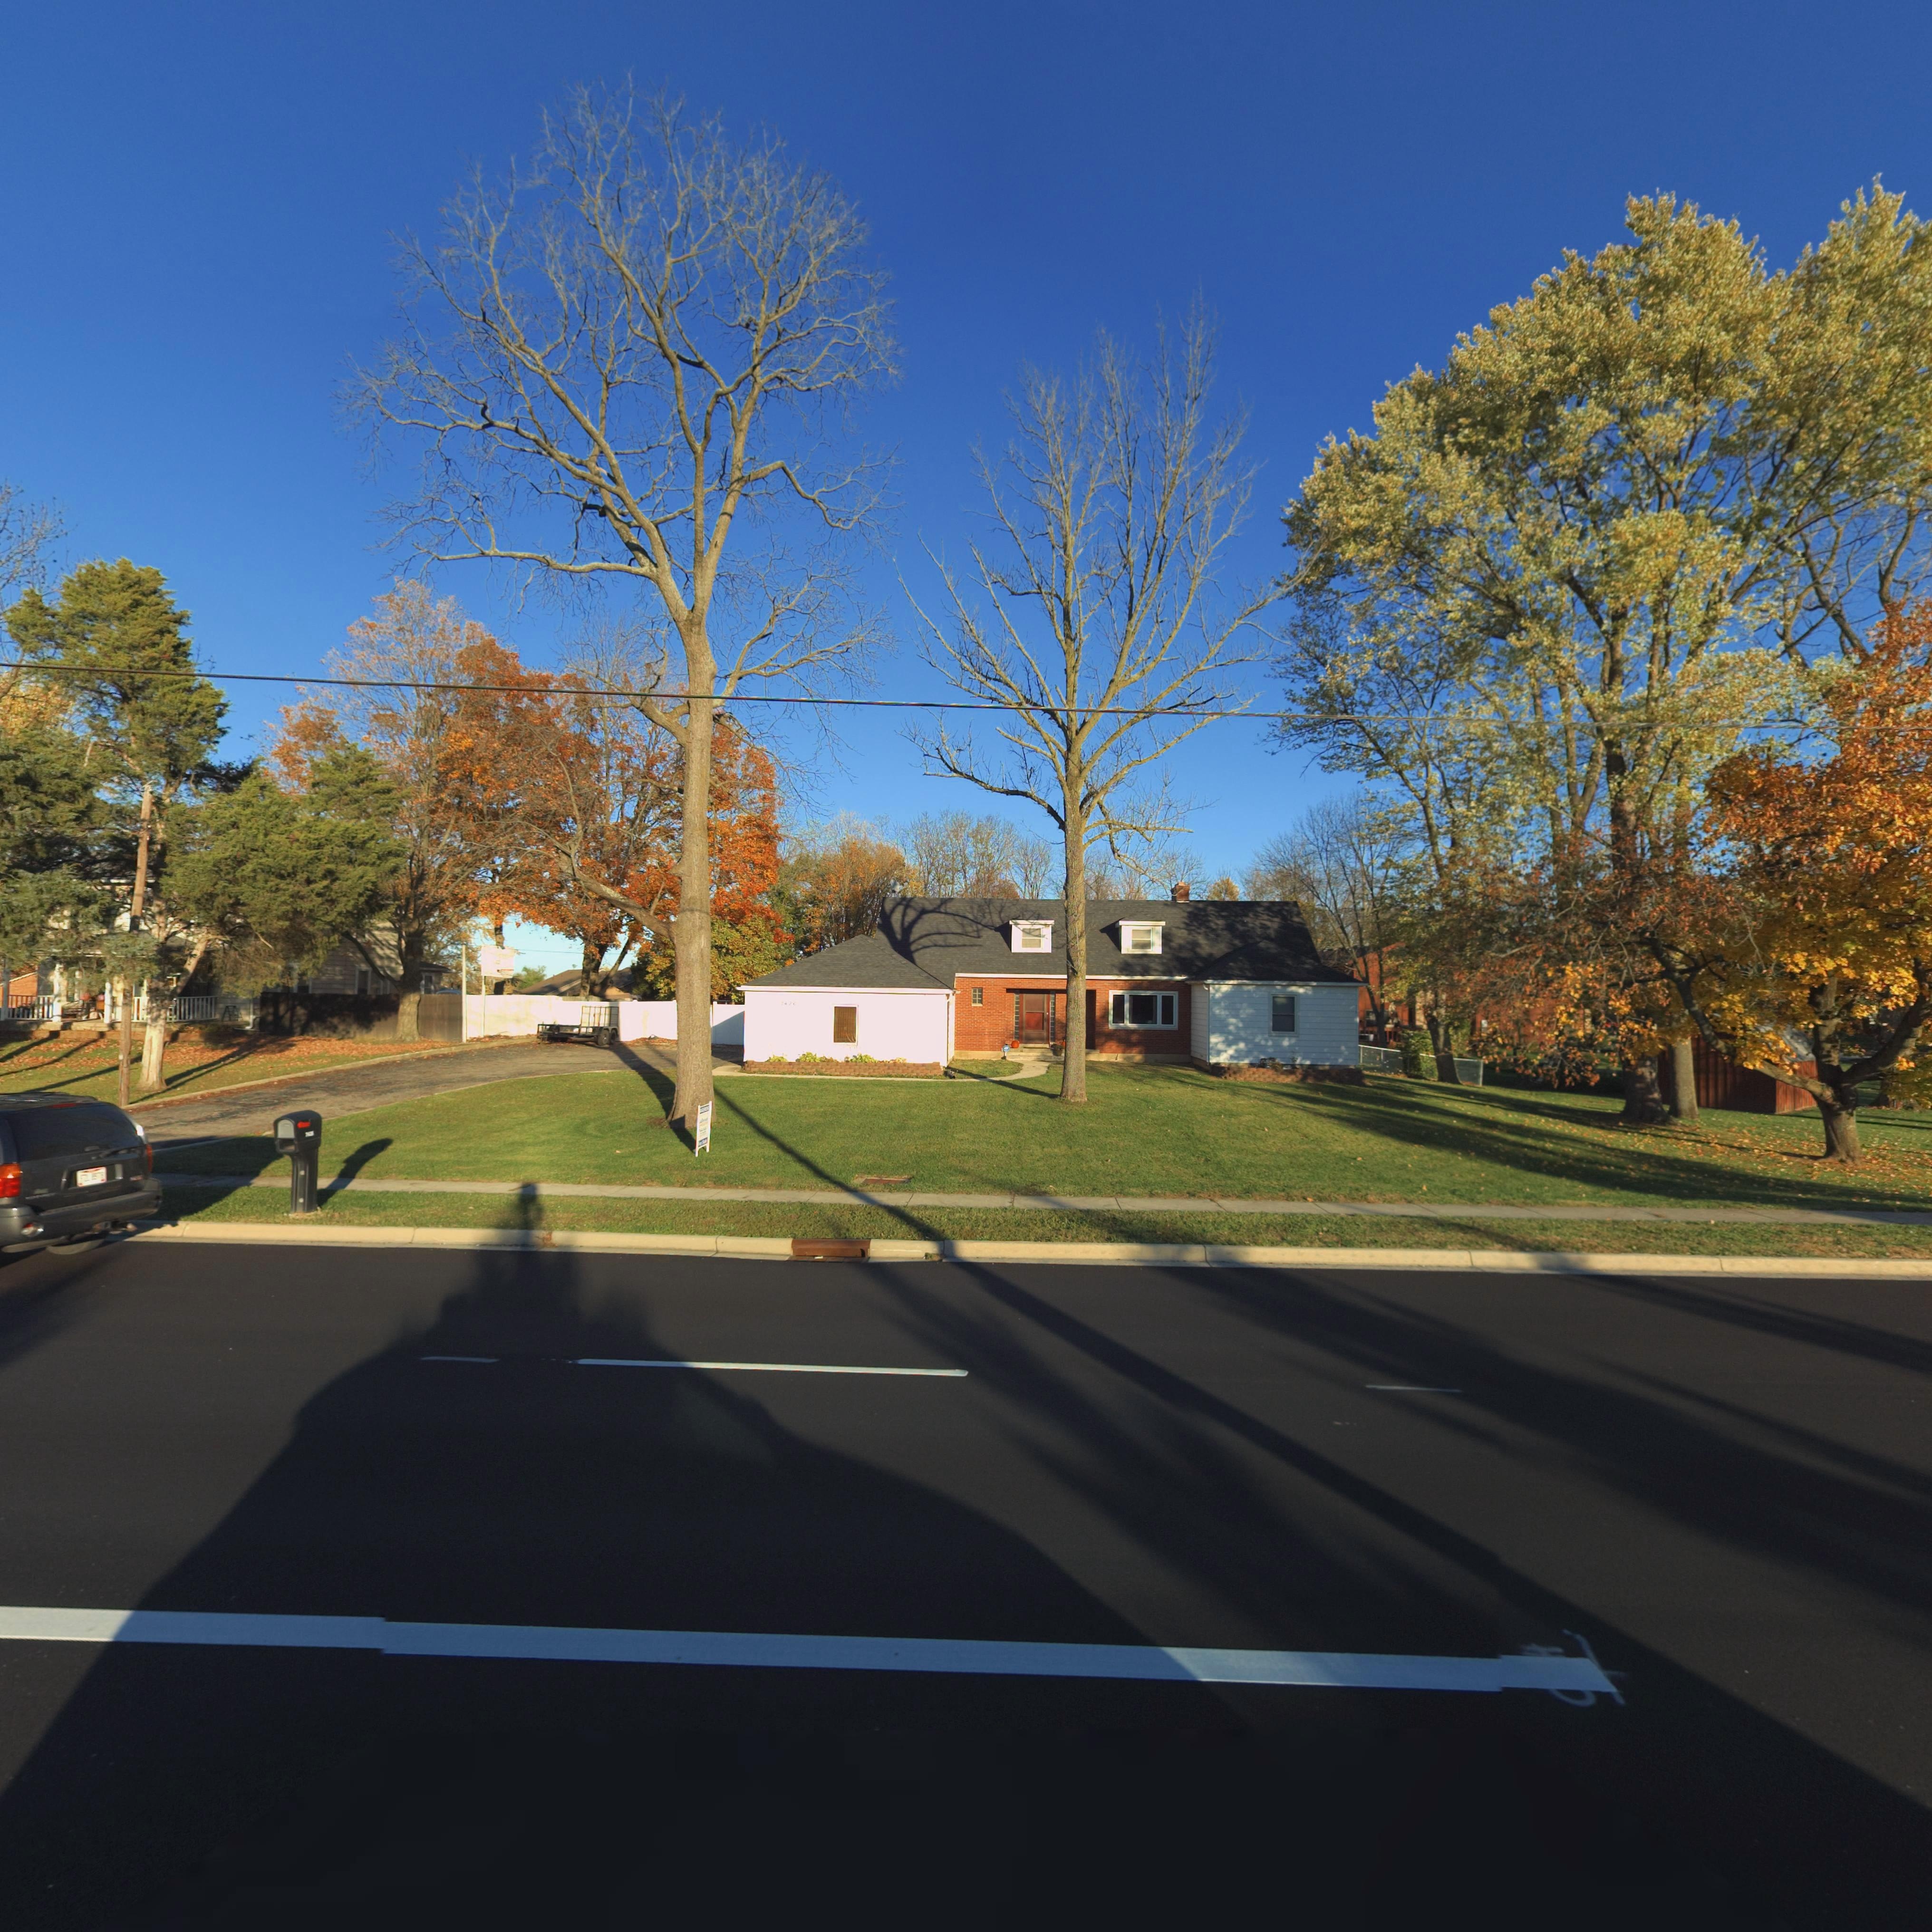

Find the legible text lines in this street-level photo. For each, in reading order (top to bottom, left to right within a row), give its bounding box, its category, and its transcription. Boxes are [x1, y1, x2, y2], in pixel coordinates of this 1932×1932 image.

[781, 1000, 797, 1006] StreetNumber: 74*6
[304, 1130, 314, 1137] StreetNumber: 7***